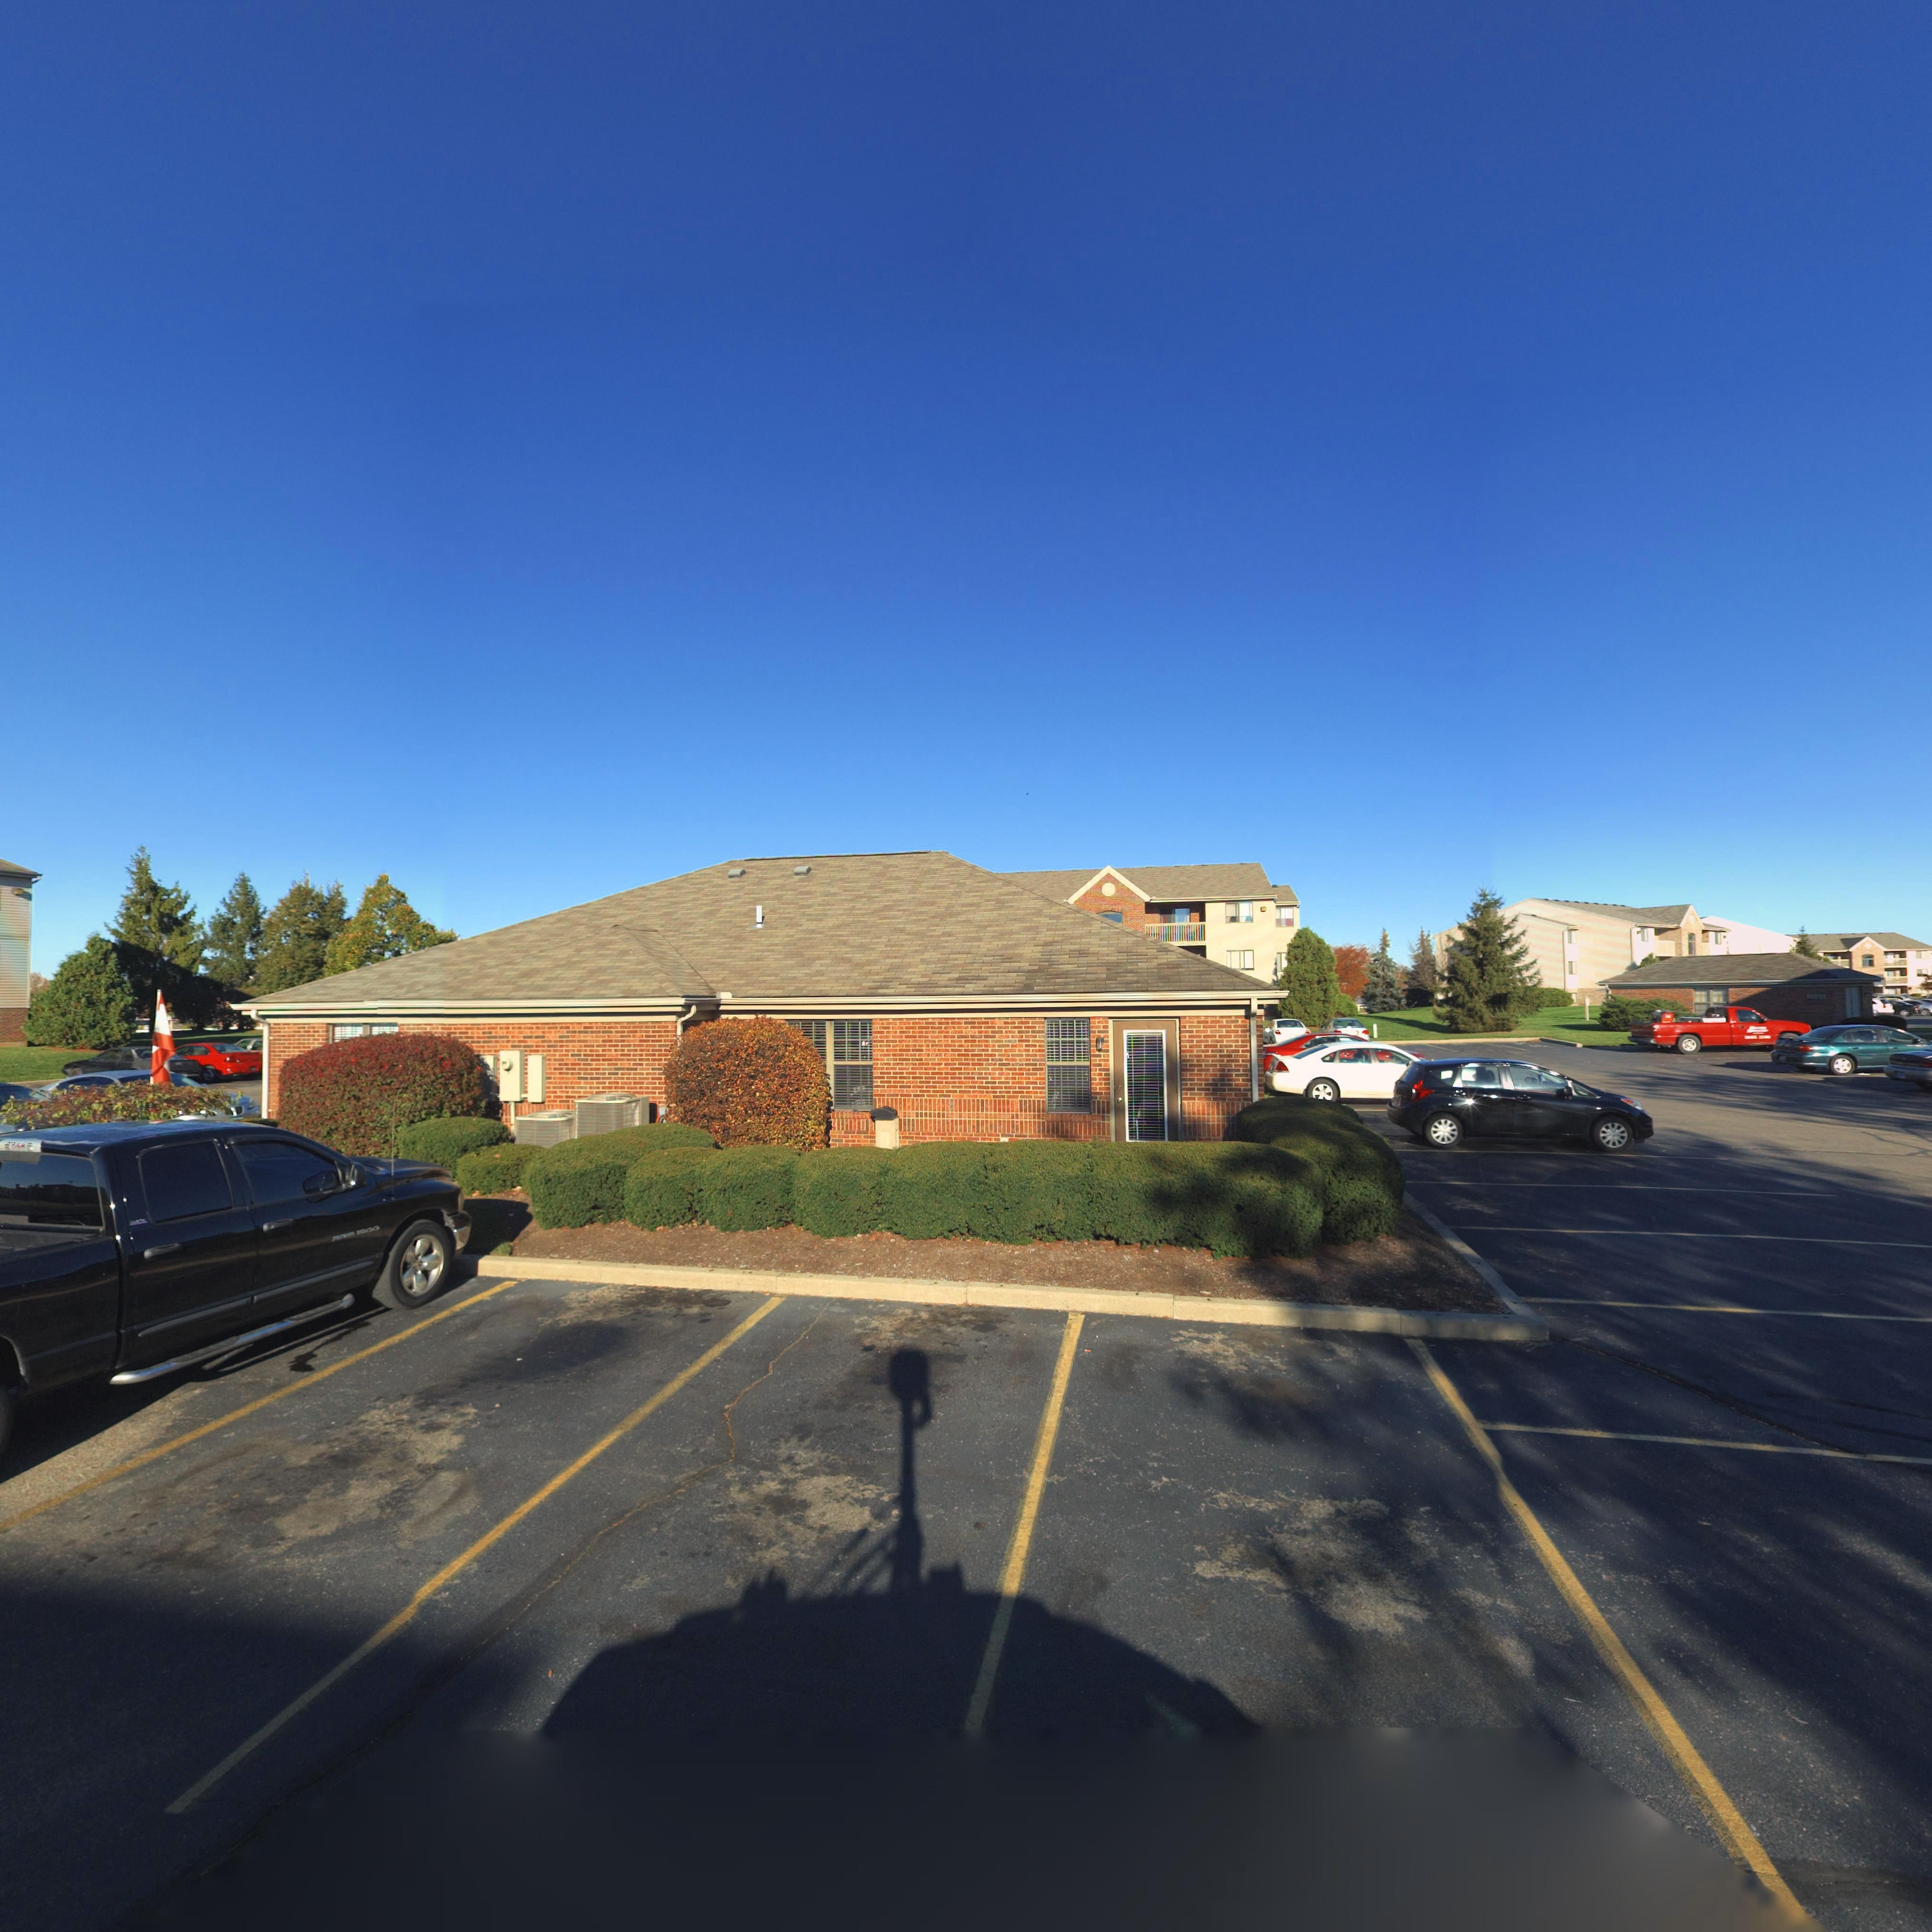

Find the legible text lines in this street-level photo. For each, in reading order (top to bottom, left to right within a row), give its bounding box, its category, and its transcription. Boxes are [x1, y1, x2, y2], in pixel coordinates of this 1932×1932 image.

[1808, 994, 1825, 999] StreetNumber: 2**5